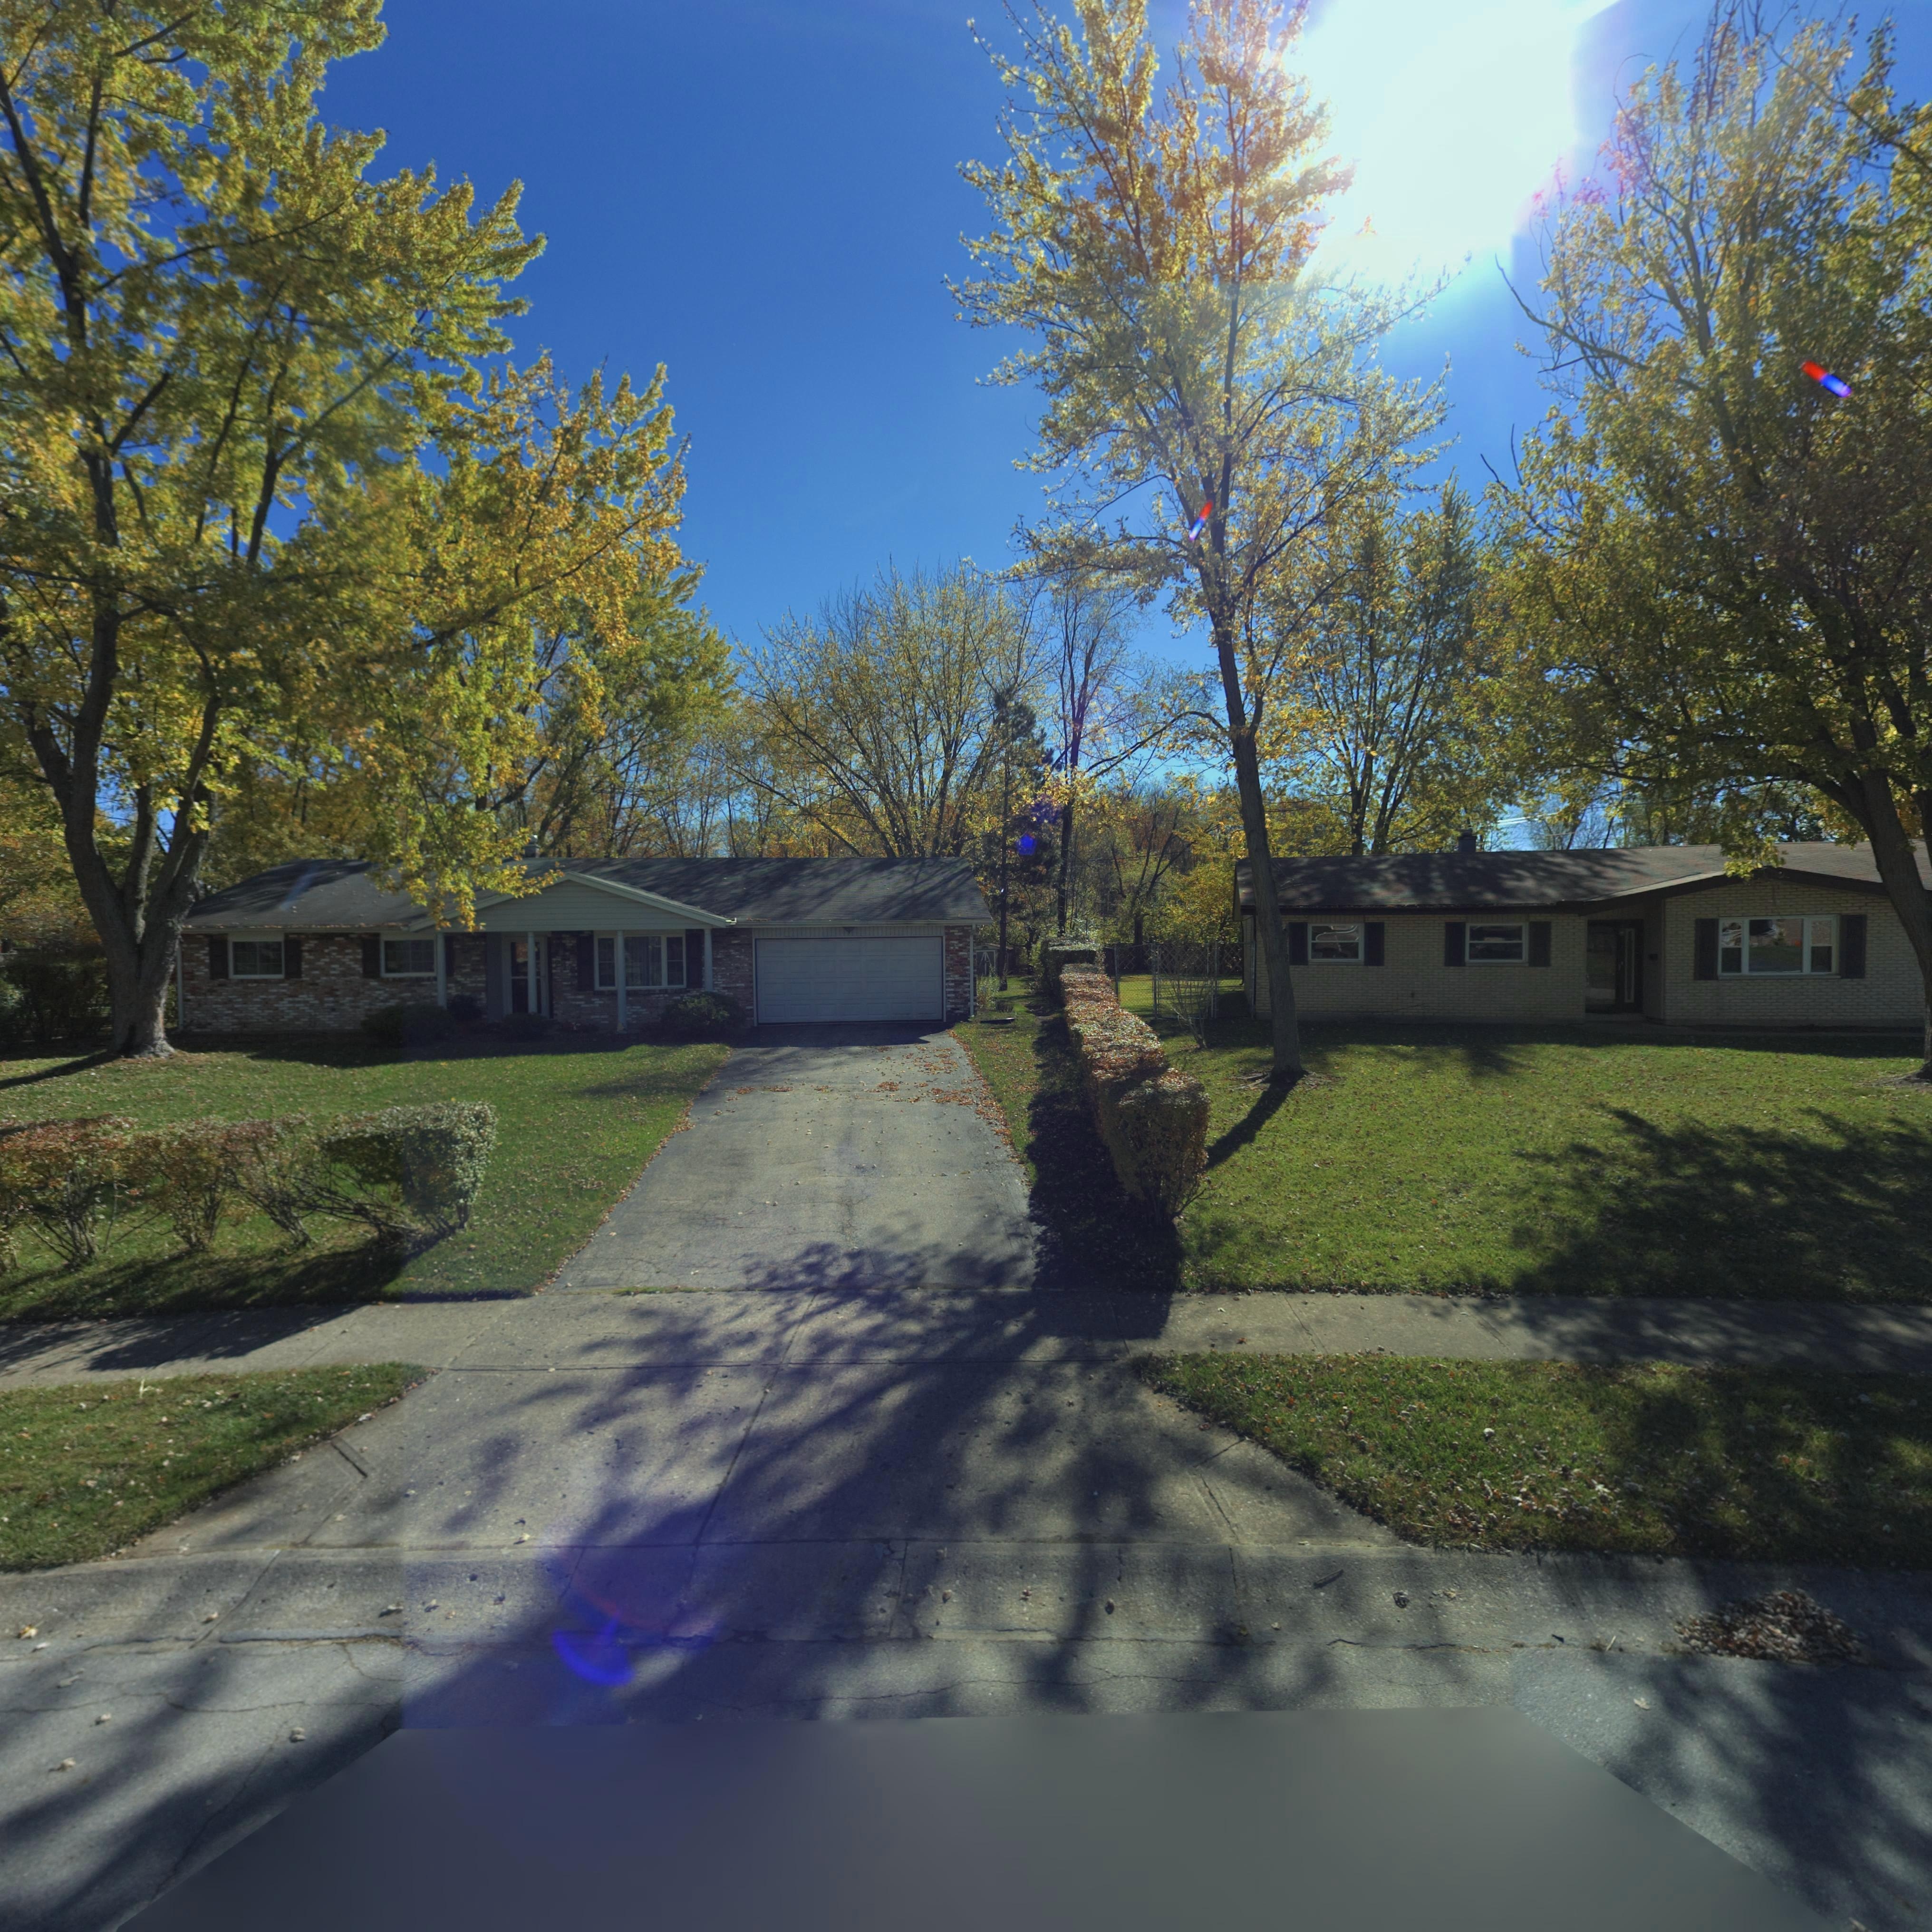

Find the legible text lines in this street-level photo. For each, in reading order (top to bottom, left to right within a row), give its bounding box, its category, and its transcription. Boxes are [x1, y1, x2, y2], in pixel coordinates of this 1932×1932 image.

[553, 958, 577, 974] StreetNumber: 214